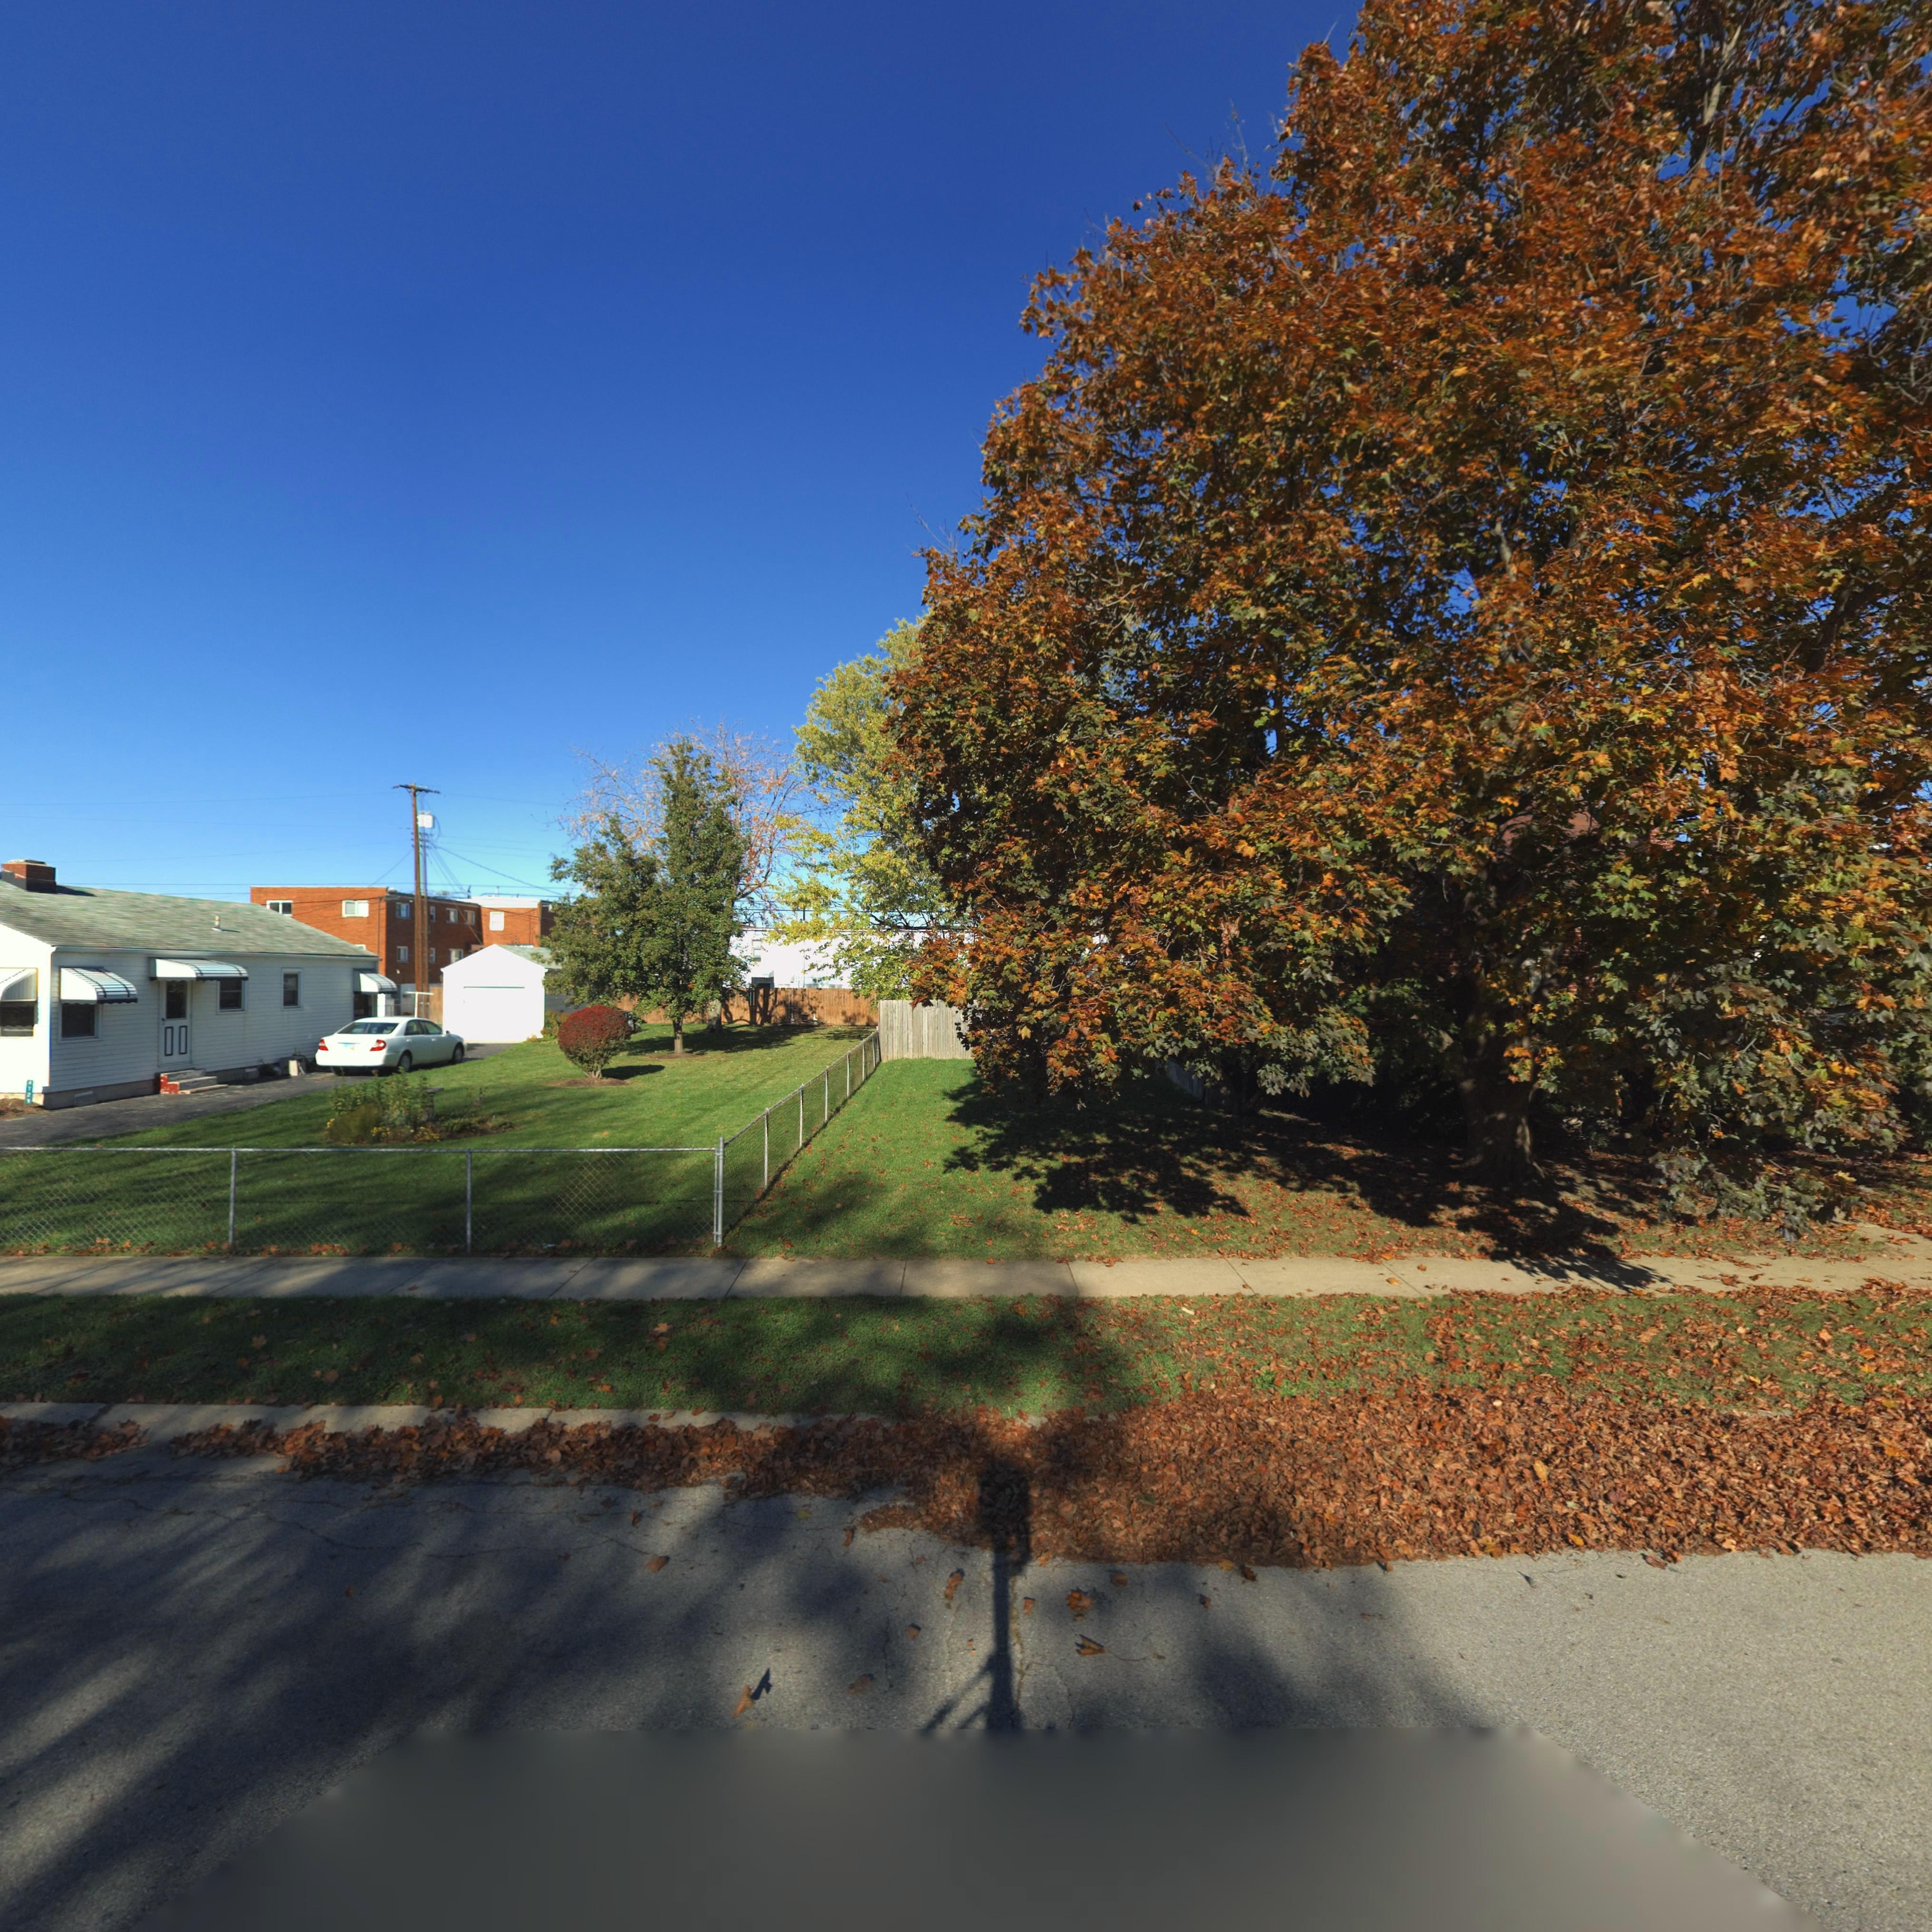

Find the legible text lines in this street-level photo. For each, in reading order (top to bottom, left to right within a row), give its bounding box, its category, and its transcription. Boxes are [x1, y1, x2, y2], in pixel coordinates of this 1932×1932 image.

[26, 1079, 33, 1104] StreetNumber: *7**